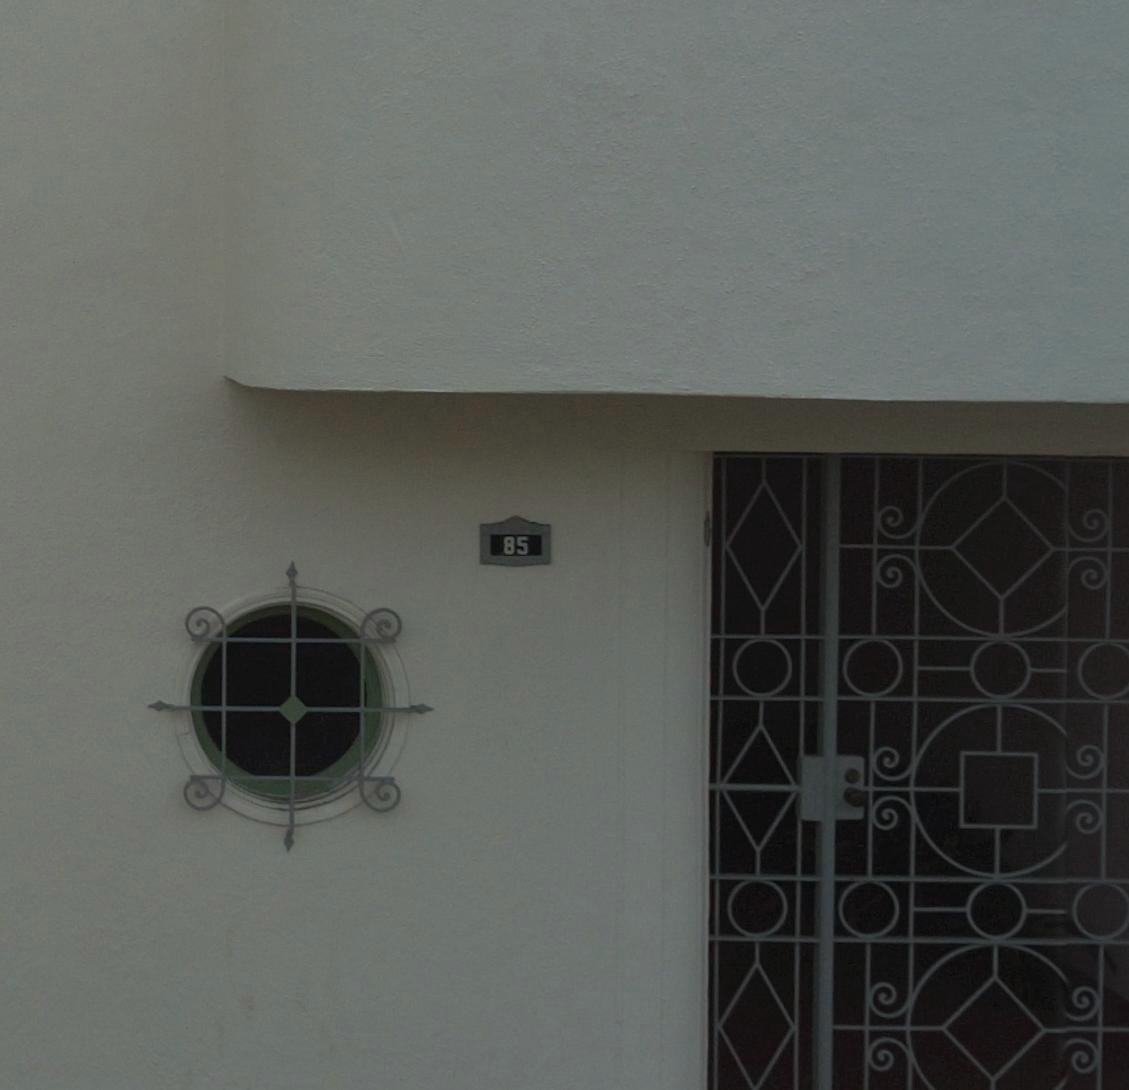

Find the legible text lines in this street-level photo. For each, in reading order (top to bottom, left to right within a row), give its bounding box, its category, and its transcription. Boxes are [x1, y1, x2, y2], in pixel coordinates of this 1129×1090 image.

[502, 535, 530, 556] StreetNumber: 85